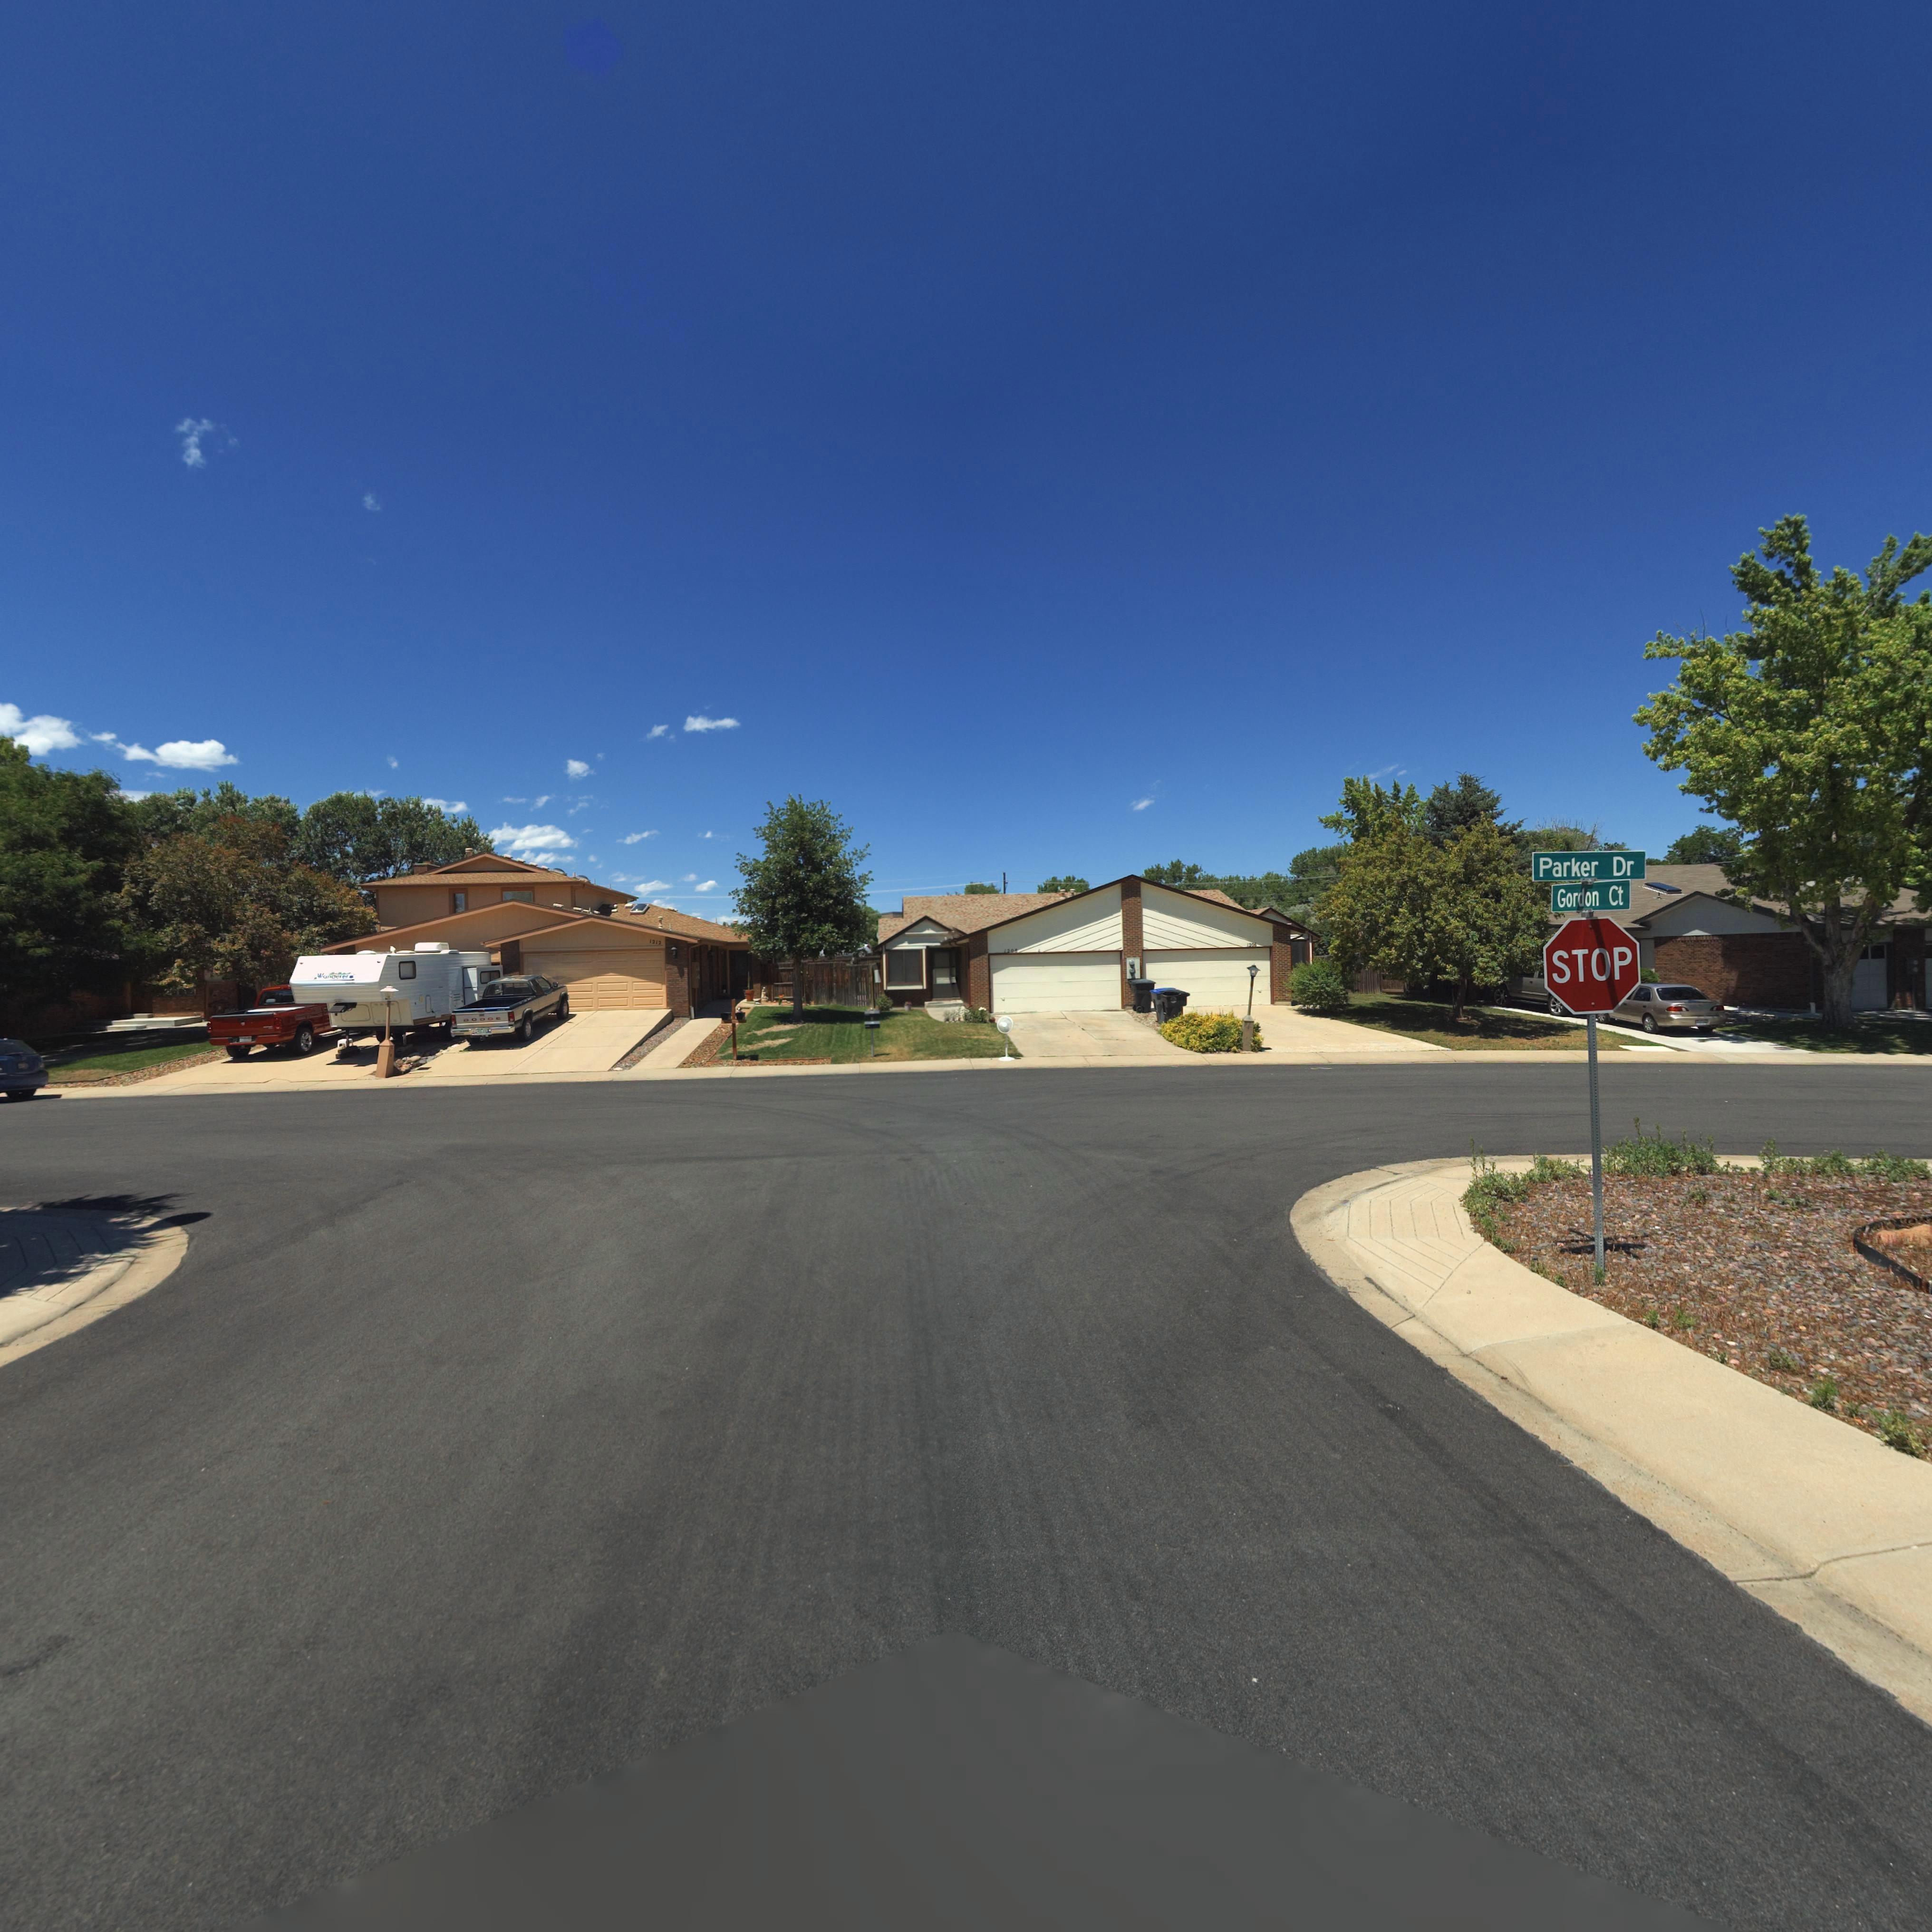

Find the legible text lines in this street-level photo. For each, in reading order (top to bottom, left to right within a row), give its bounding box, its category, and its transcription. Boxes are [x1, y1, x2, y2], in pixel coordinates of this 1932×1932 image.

[1538, 856, 1635, 877] StreetName: Parker Dr
[1557, 884, 1624, 908] StreetName: Gordon Ct
[649, 938, 661, 945] StreetNumber: 1212
[1246, 942, 1256, 947] StreetNumber: 1205
[1004, 948, 1018, 953] StreetNumber: 120*